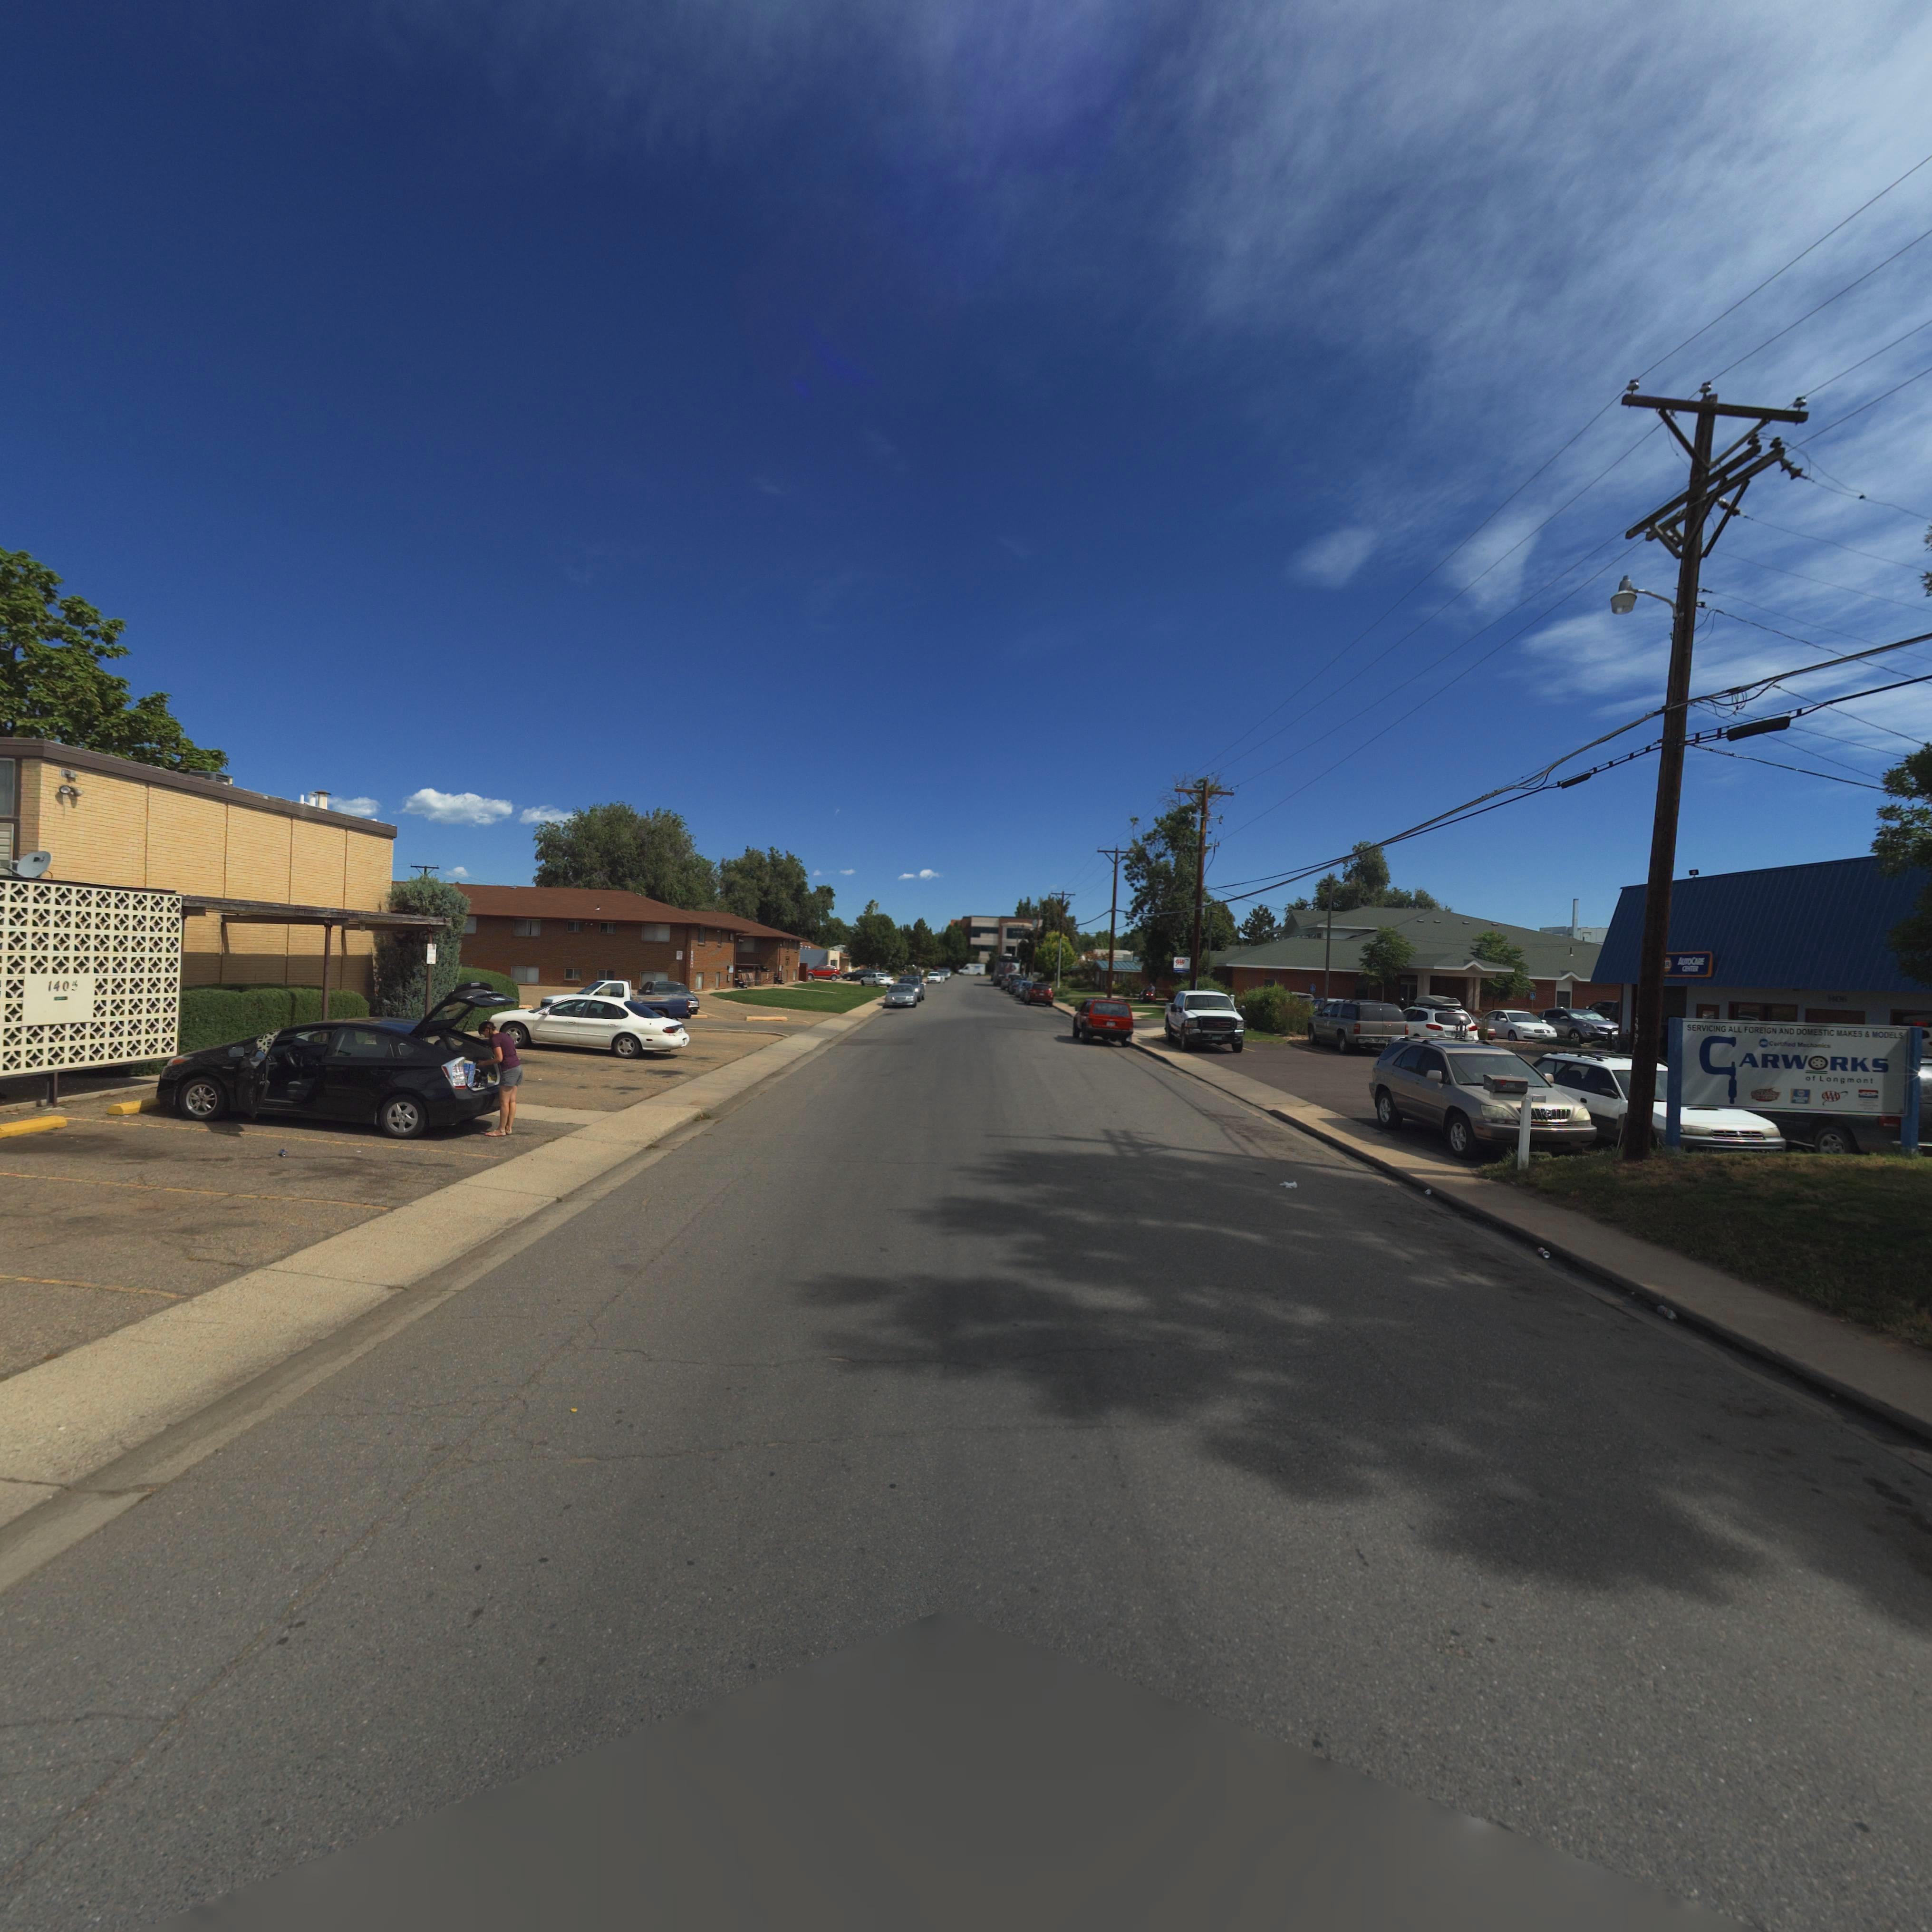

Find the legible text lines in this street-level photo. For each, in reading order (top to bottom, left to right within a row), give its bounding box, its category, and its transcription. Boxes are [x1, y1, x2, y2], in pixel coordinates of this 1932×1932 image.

[1665, 961, 1670, 966] BusinessName: *A
[1677, 956, 1705, 965] BusinessName: AU*OCARE
[1681, 965, 1699, 972] BusinessName: CENTER
[47, 979, 78, 992] StreetNumber: 1405
[1827, 995, 1847, 1003] StreetNumber: 1406
[1698, 1034, 1889, 1077] BusinessName: CARW*RKS
[1805, 1075, 1873, 1084] BusinessName: of Longmont